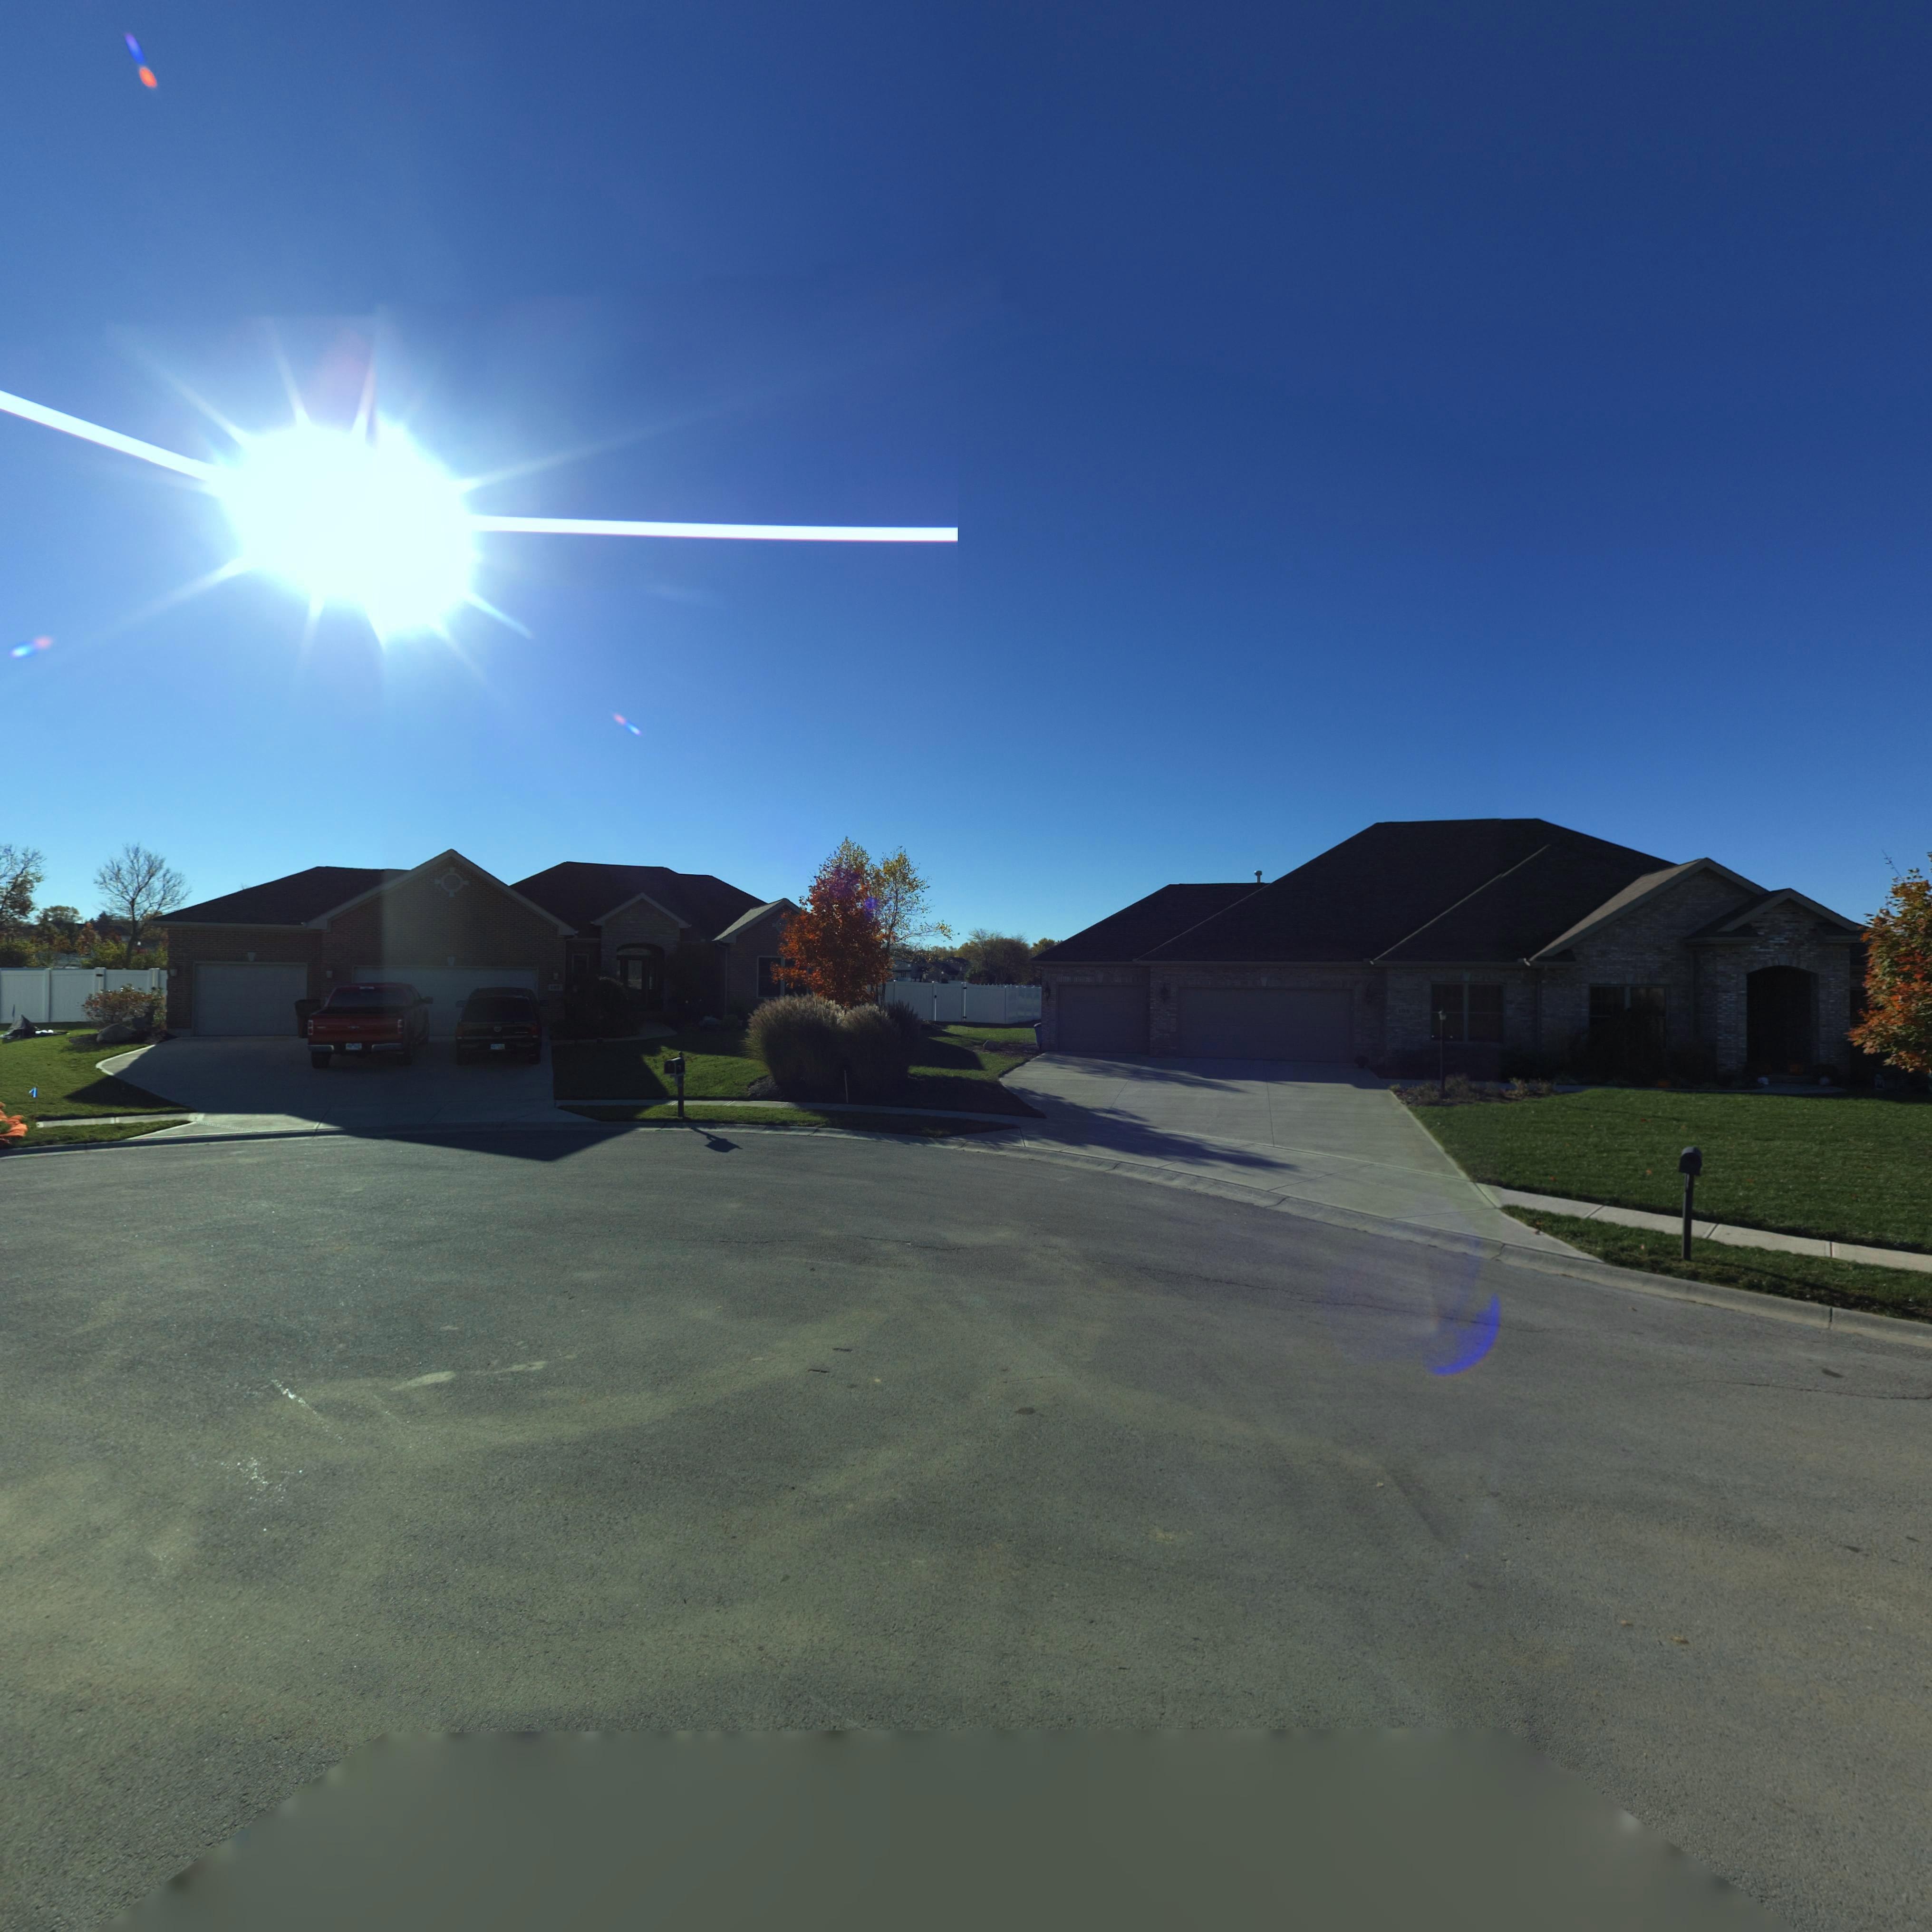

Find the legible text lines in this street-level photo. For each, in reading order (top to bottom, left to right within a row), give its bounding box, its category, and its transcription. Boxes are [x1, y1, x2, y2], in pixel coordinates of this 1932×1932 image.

[549, 985, 560, 990] StreetNumber: 10*
[1398, 1008, 1410, 1014] StreetNumber: *0*